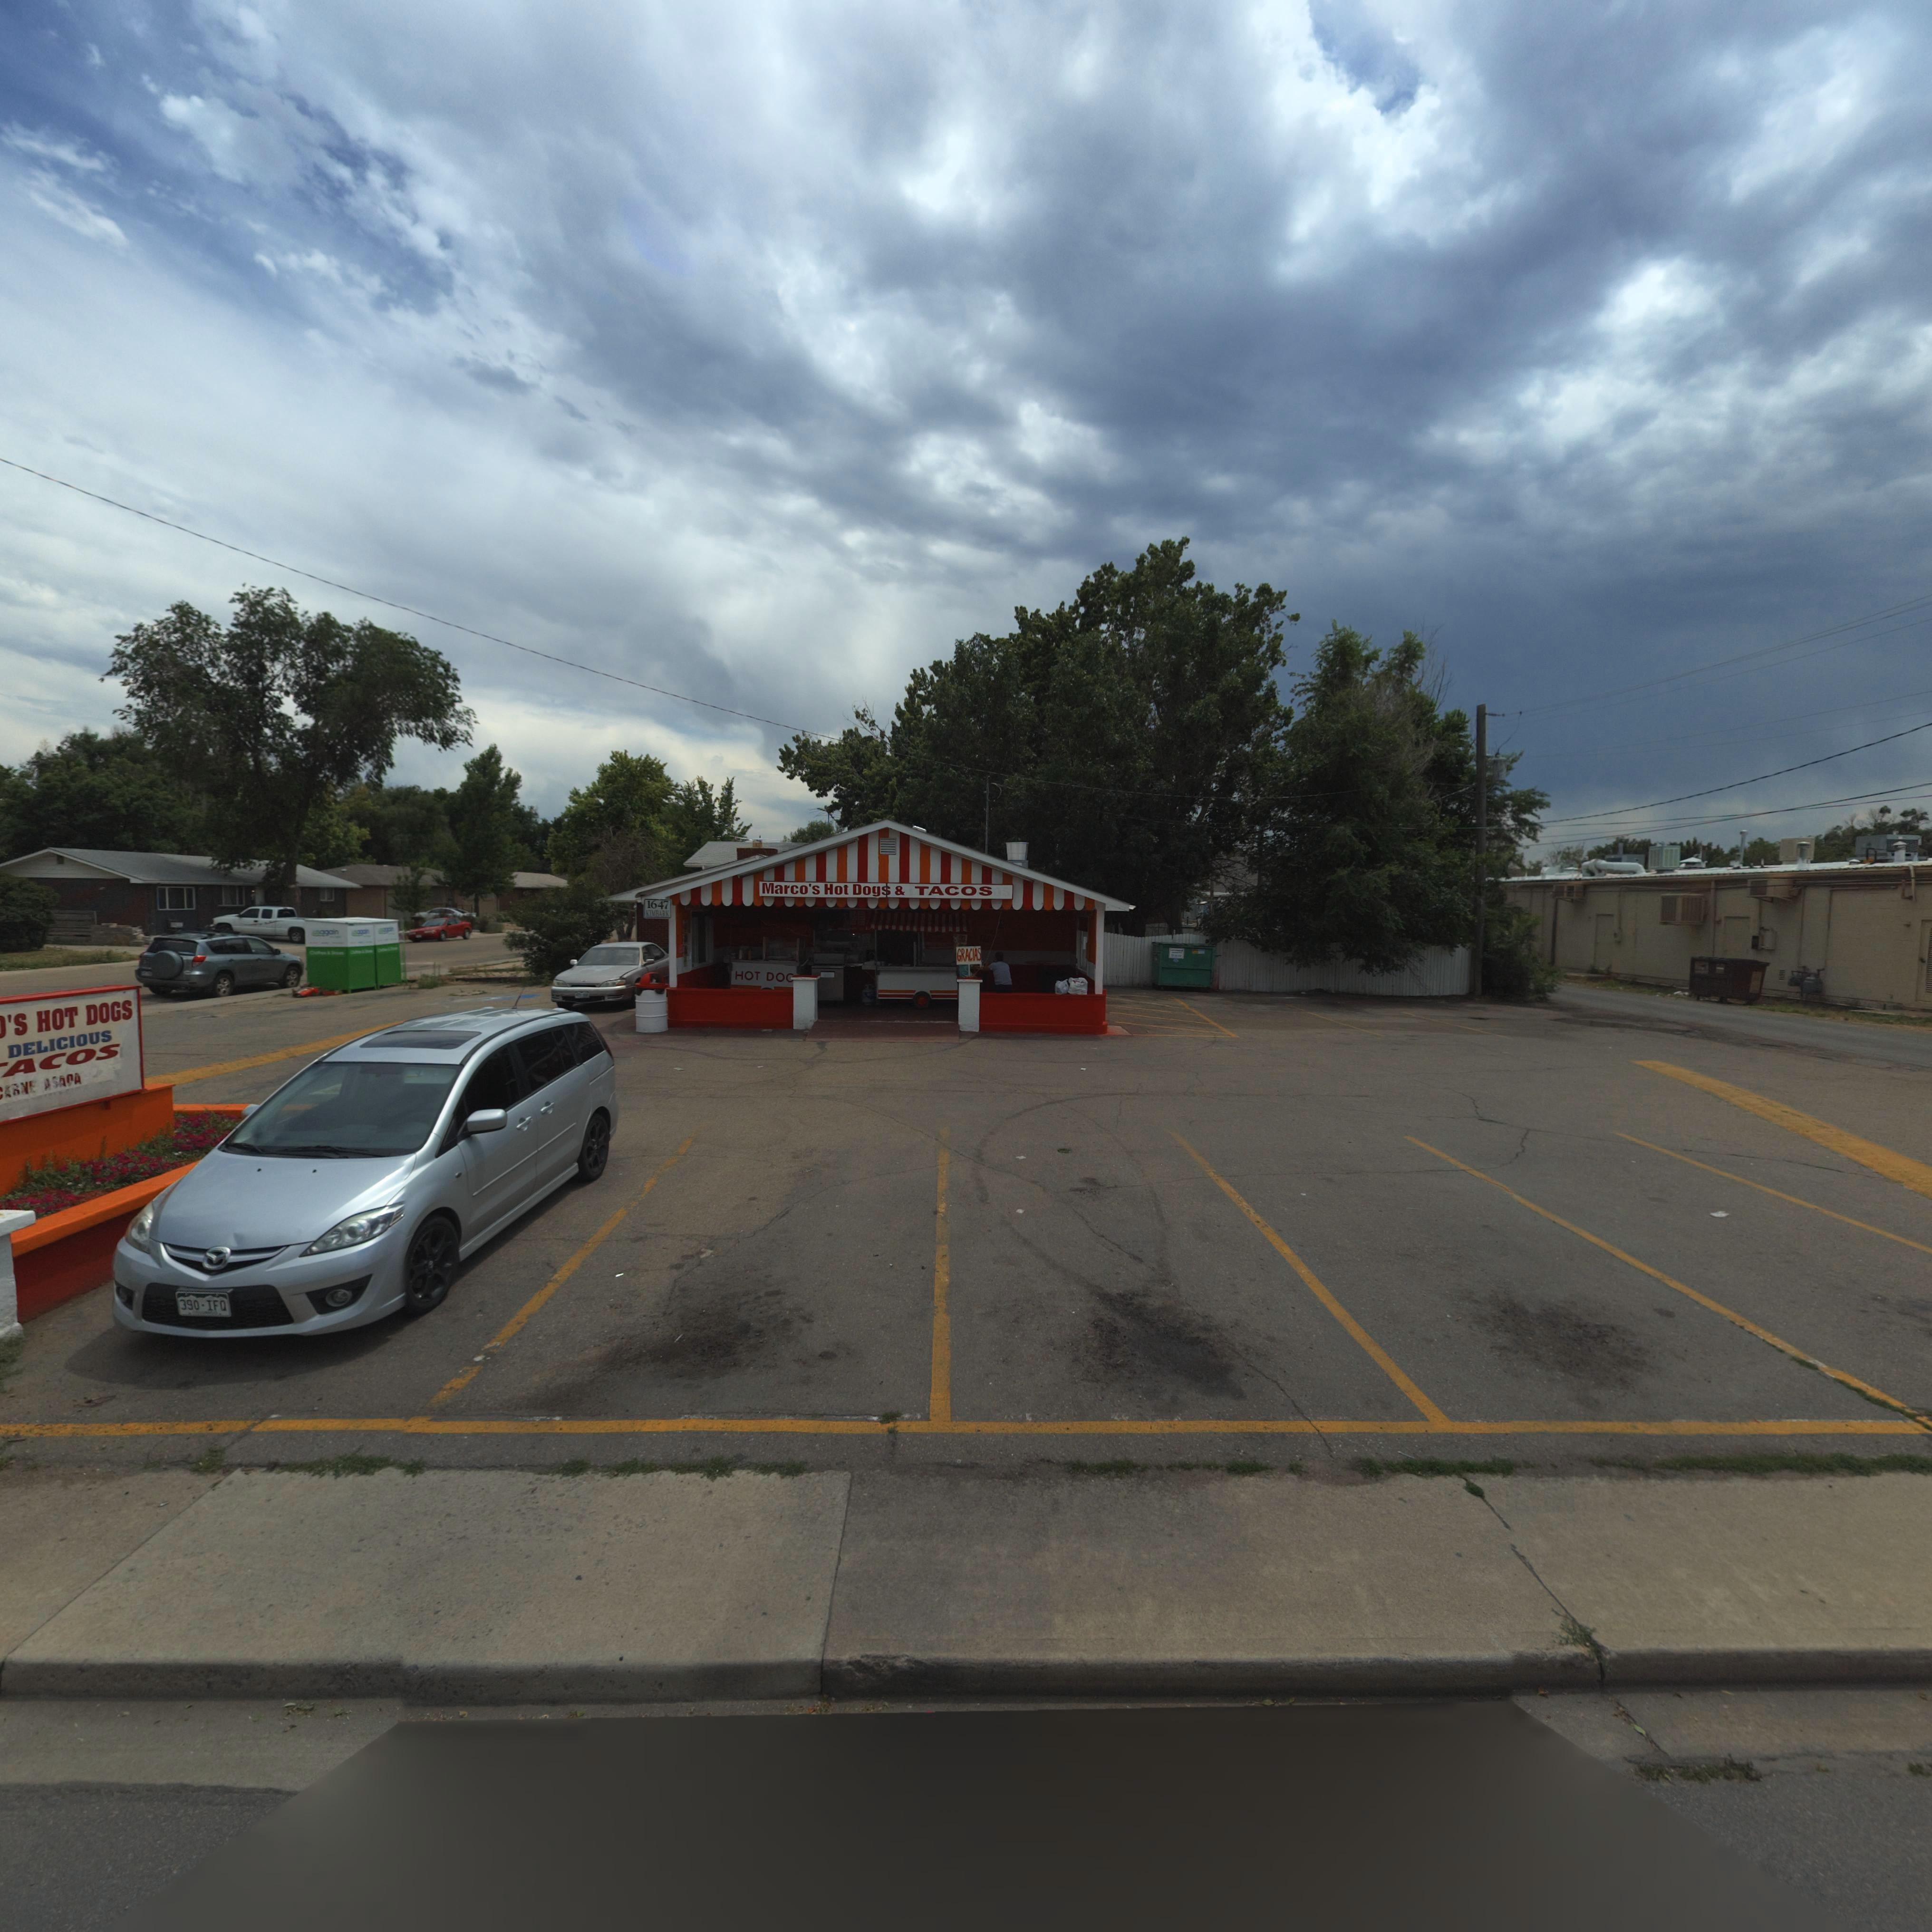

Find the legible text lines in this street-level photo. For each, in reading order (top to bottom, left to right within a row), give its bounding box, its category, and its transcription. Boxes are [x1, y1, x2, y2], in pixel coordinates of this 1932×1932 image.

[762, 882, 993, 897] BusinessName: Marco's Hot Dogs & TACOS
[646, 899, 669, 910] StreetNumber: 1647
[645, 909, 670, 918] StreetName: KI**ARK
[12, 999, 133, 1036] BusinessName: S HOT DOGS